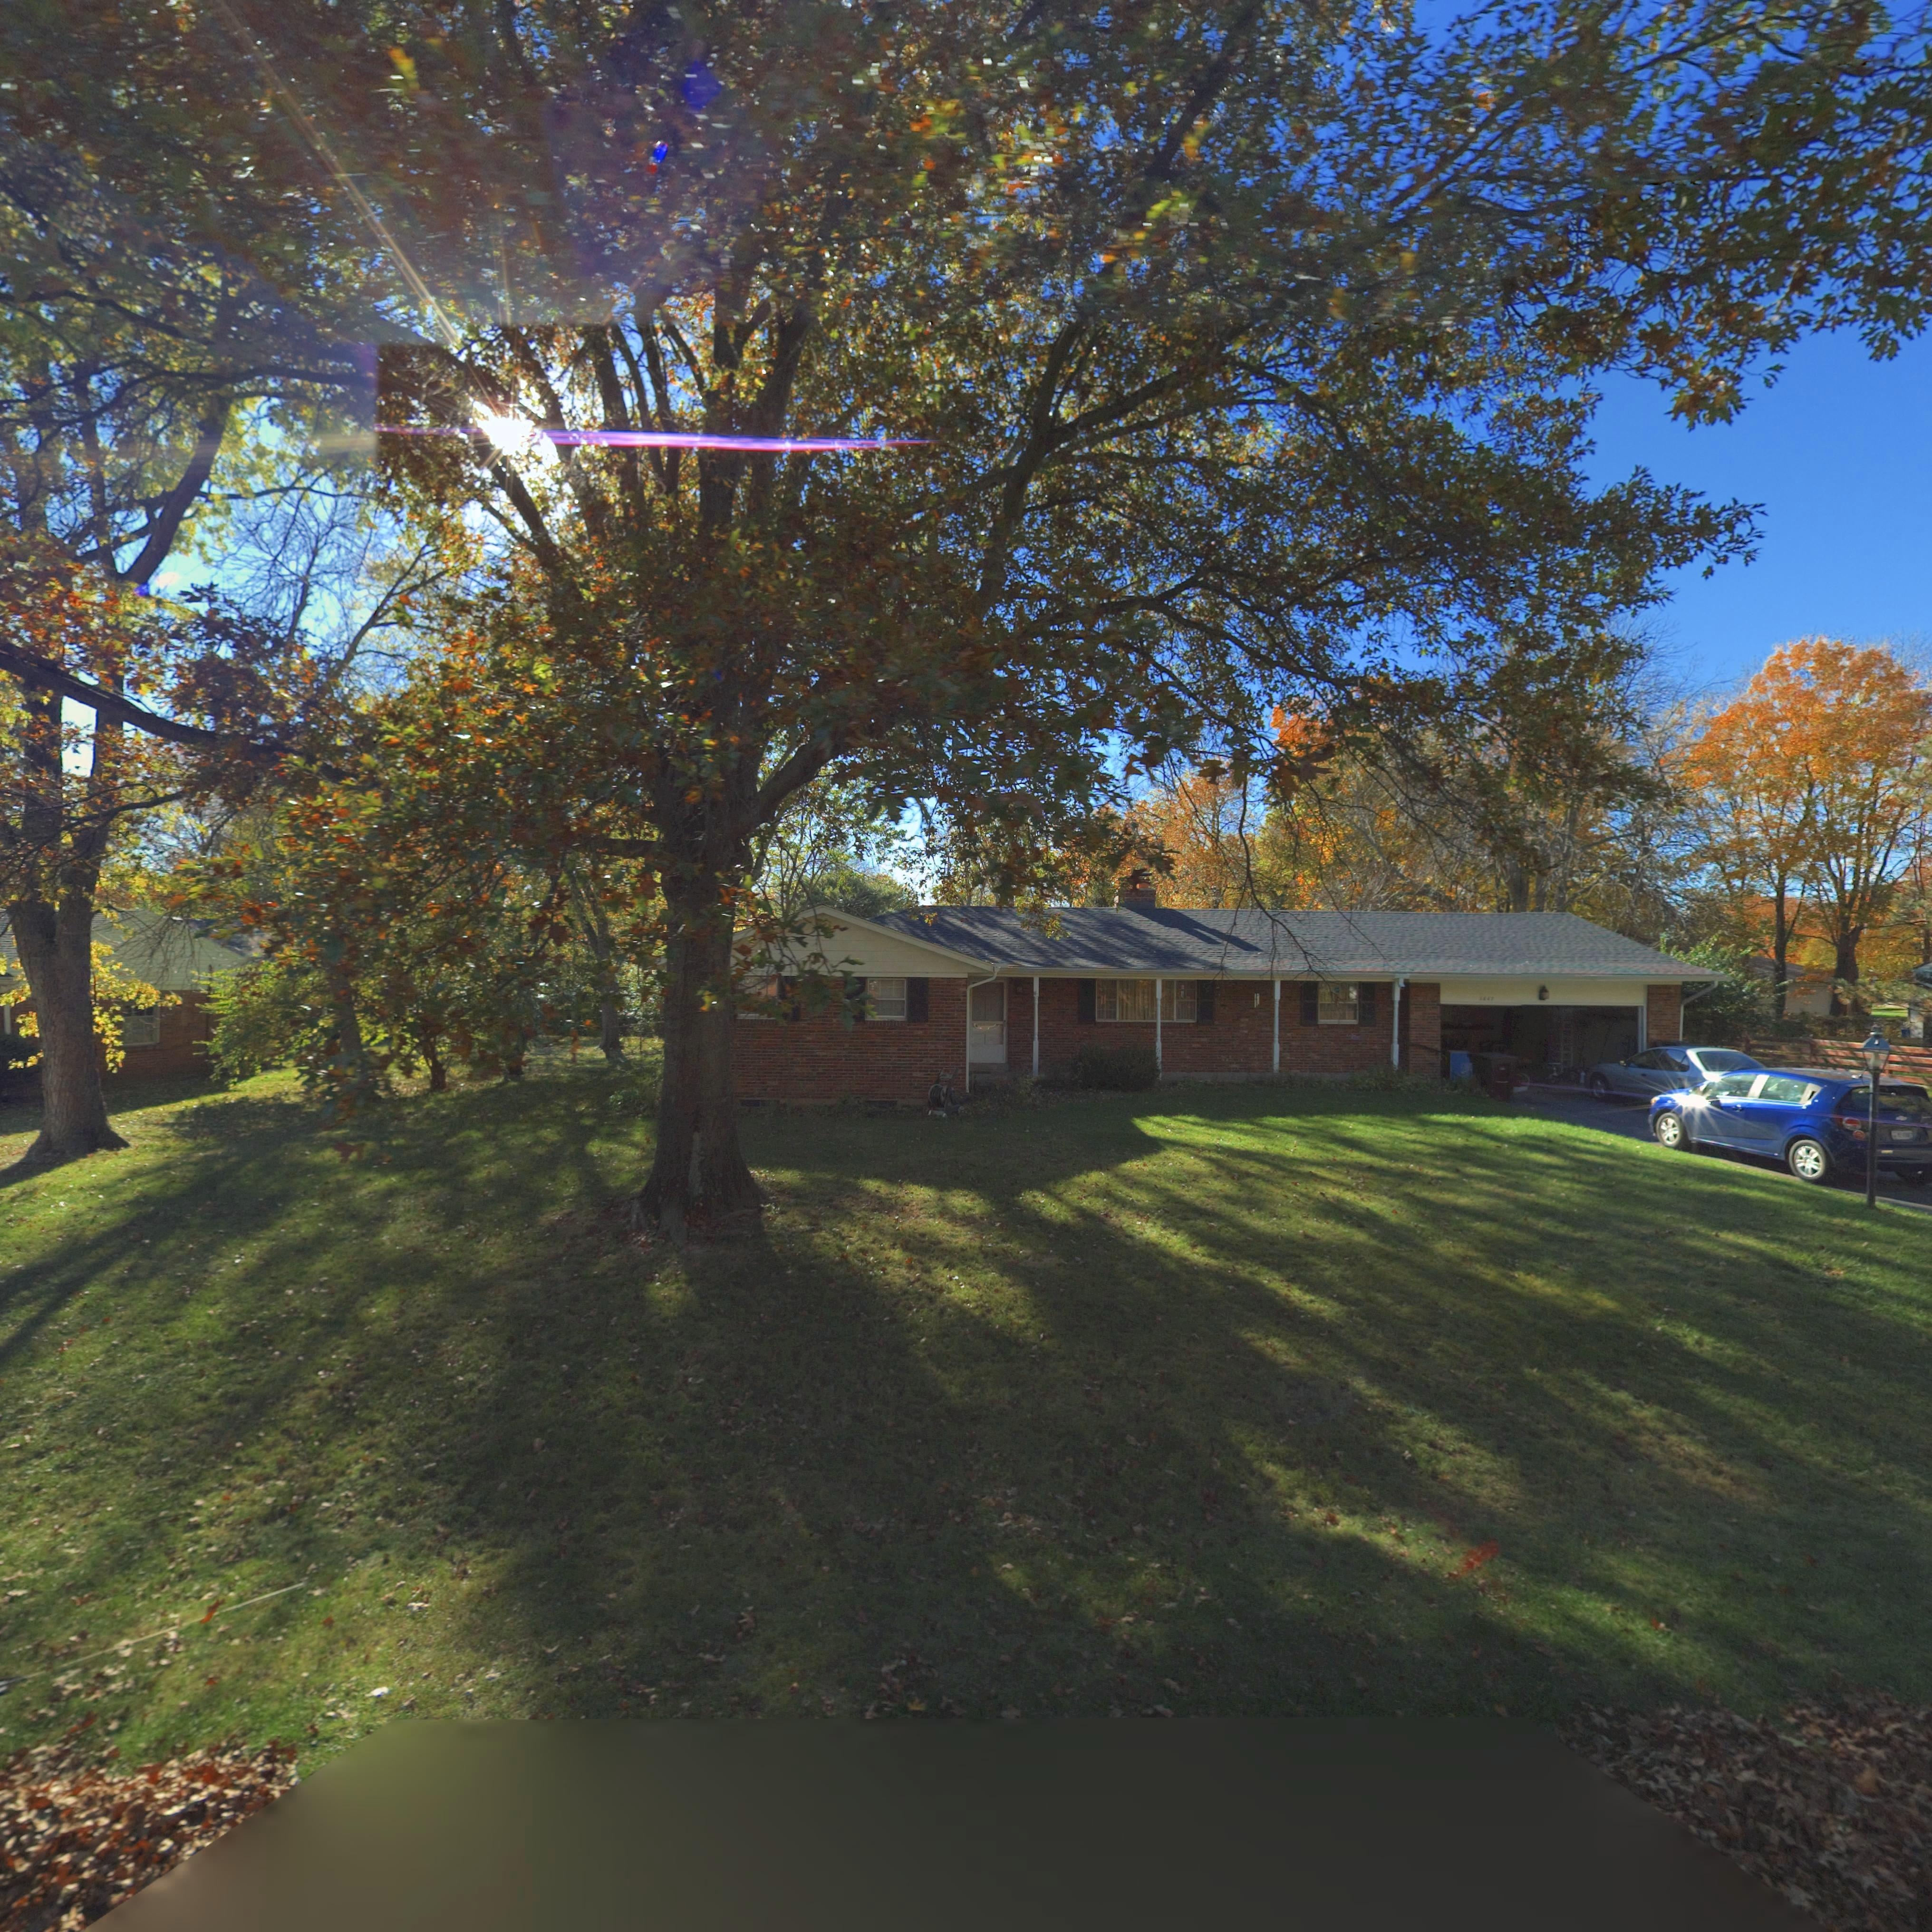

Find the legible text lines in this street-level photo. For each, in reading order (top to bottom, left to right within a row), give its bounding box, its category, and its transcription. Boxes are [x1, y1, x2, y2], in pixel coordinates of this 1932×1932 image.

[1478, 995, 1494, 1001] StreetNumber: 5667